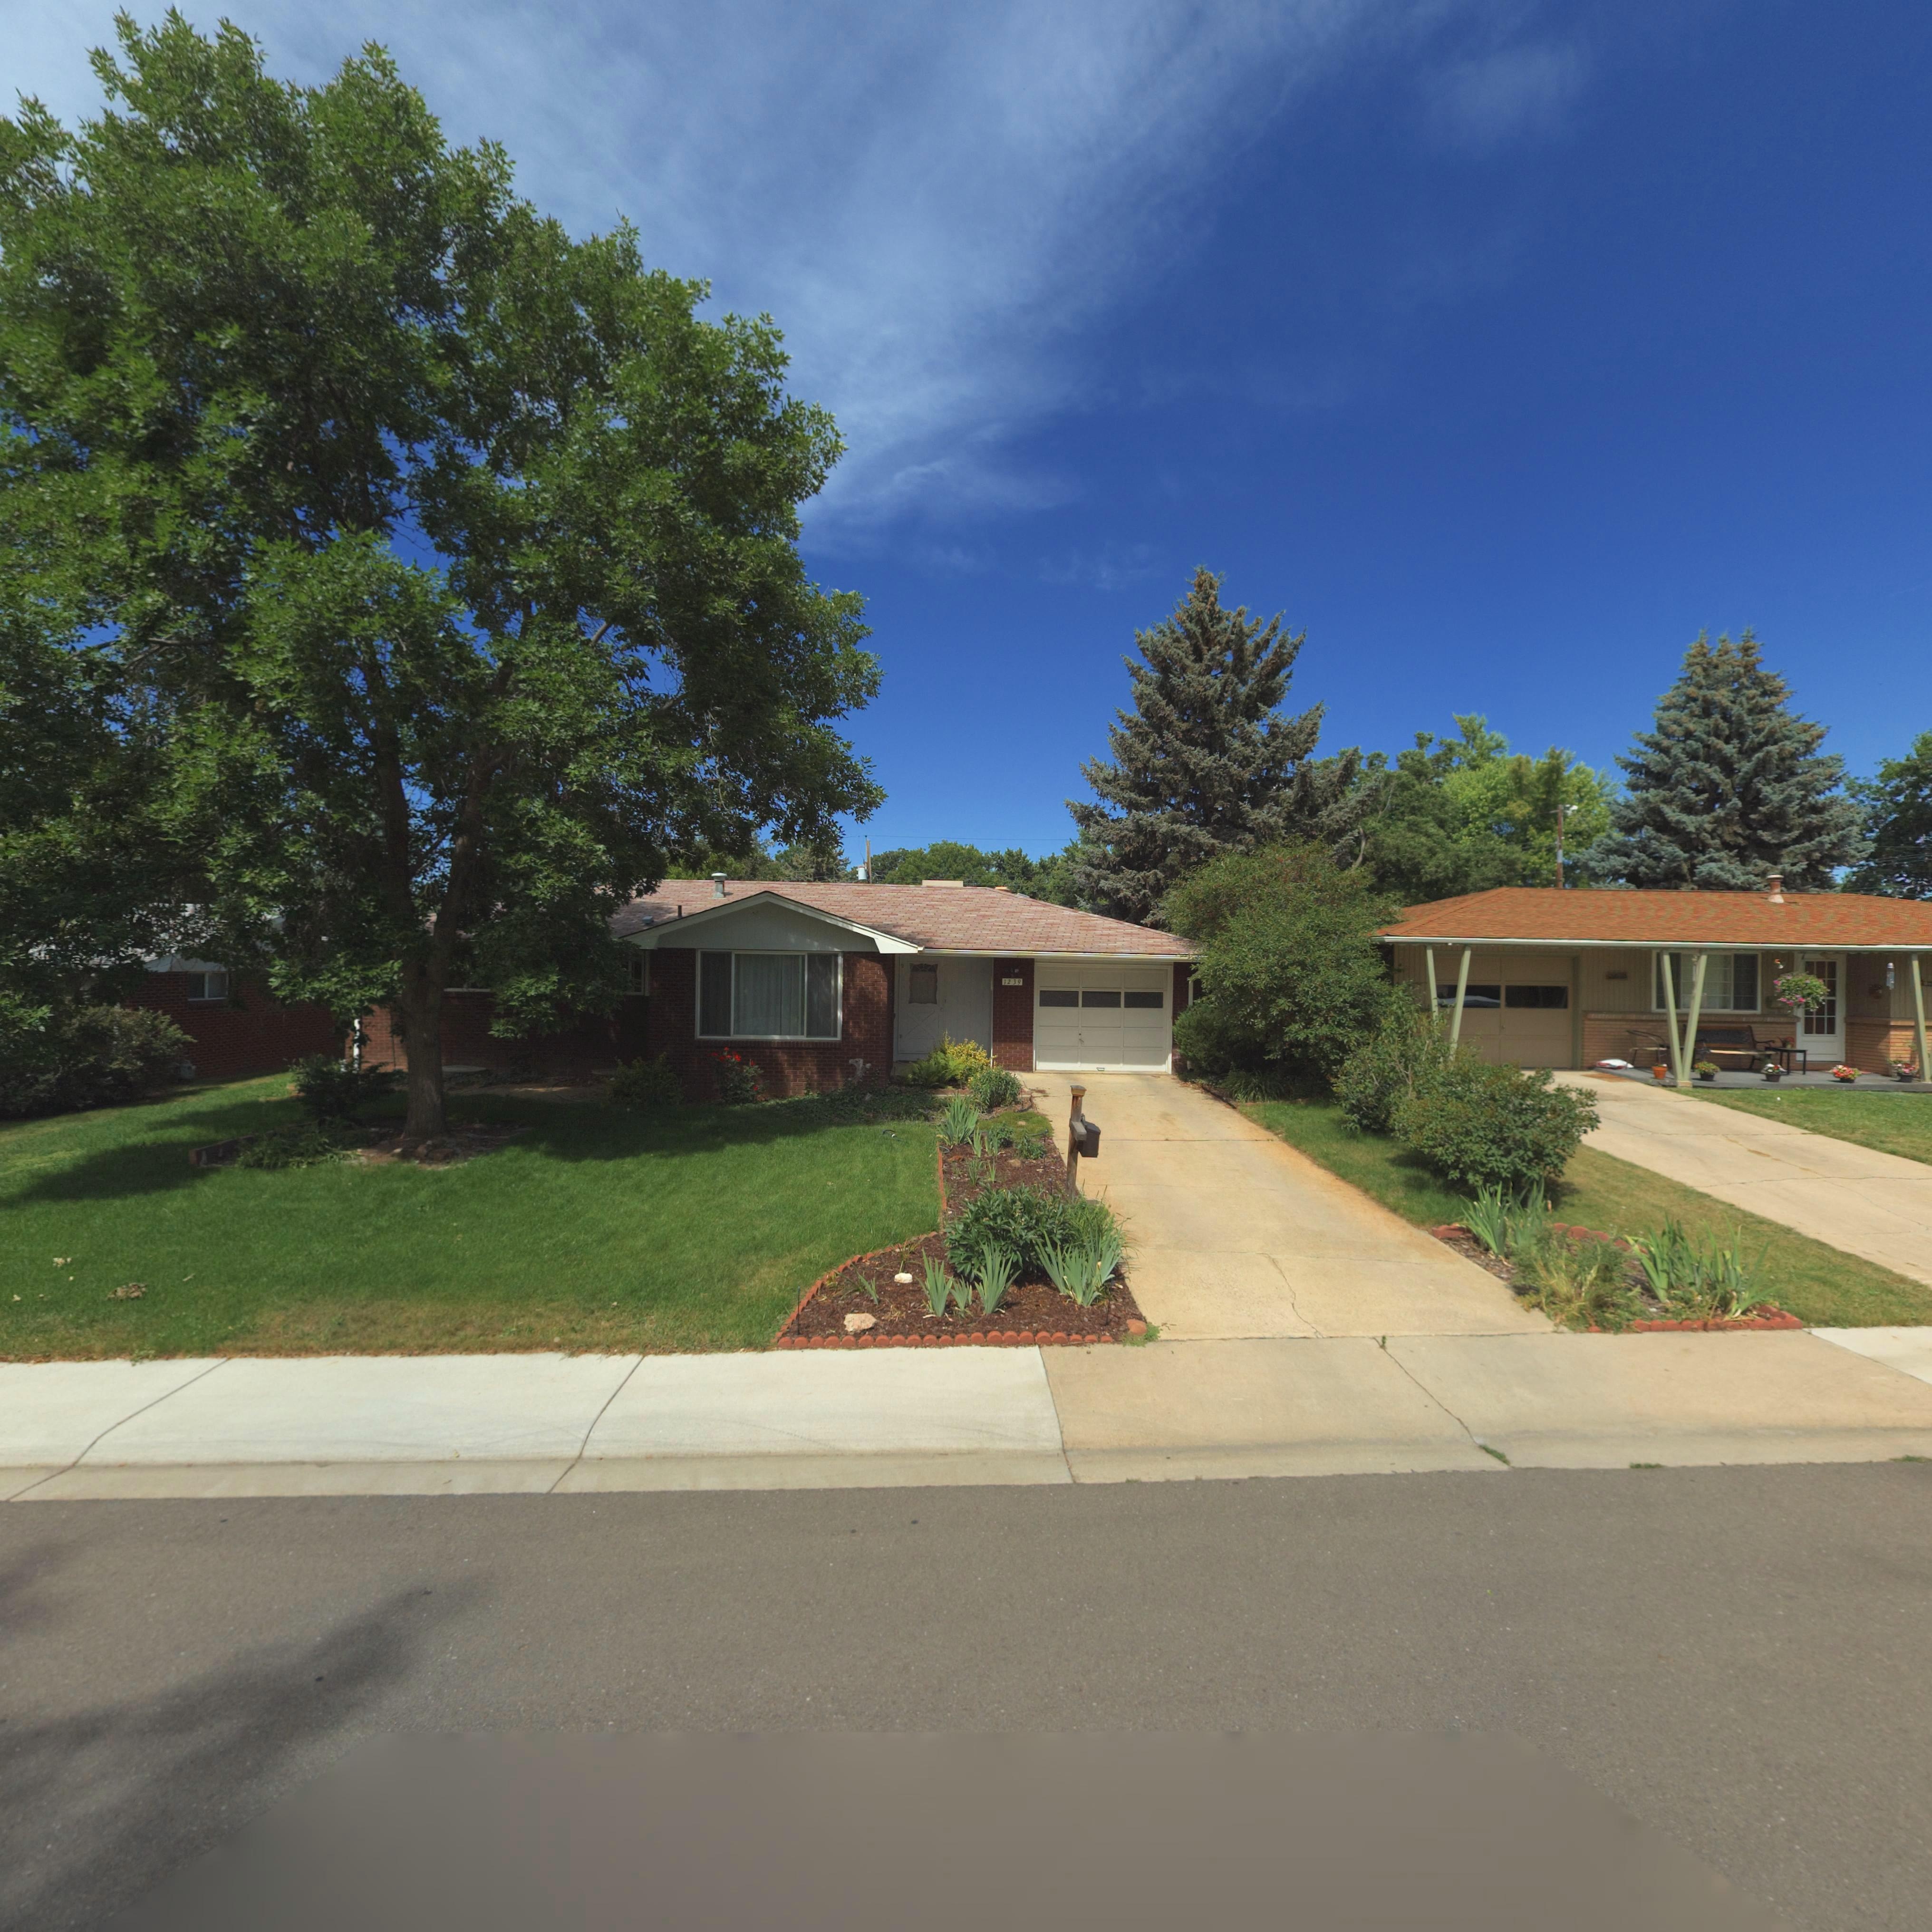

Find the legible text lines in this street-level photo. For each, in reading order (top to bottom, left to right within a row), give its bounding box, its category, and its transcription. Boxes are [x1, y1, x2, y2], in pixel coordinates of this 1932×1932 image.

[1004, 979, 1021, 985] StreetNumber: 1239